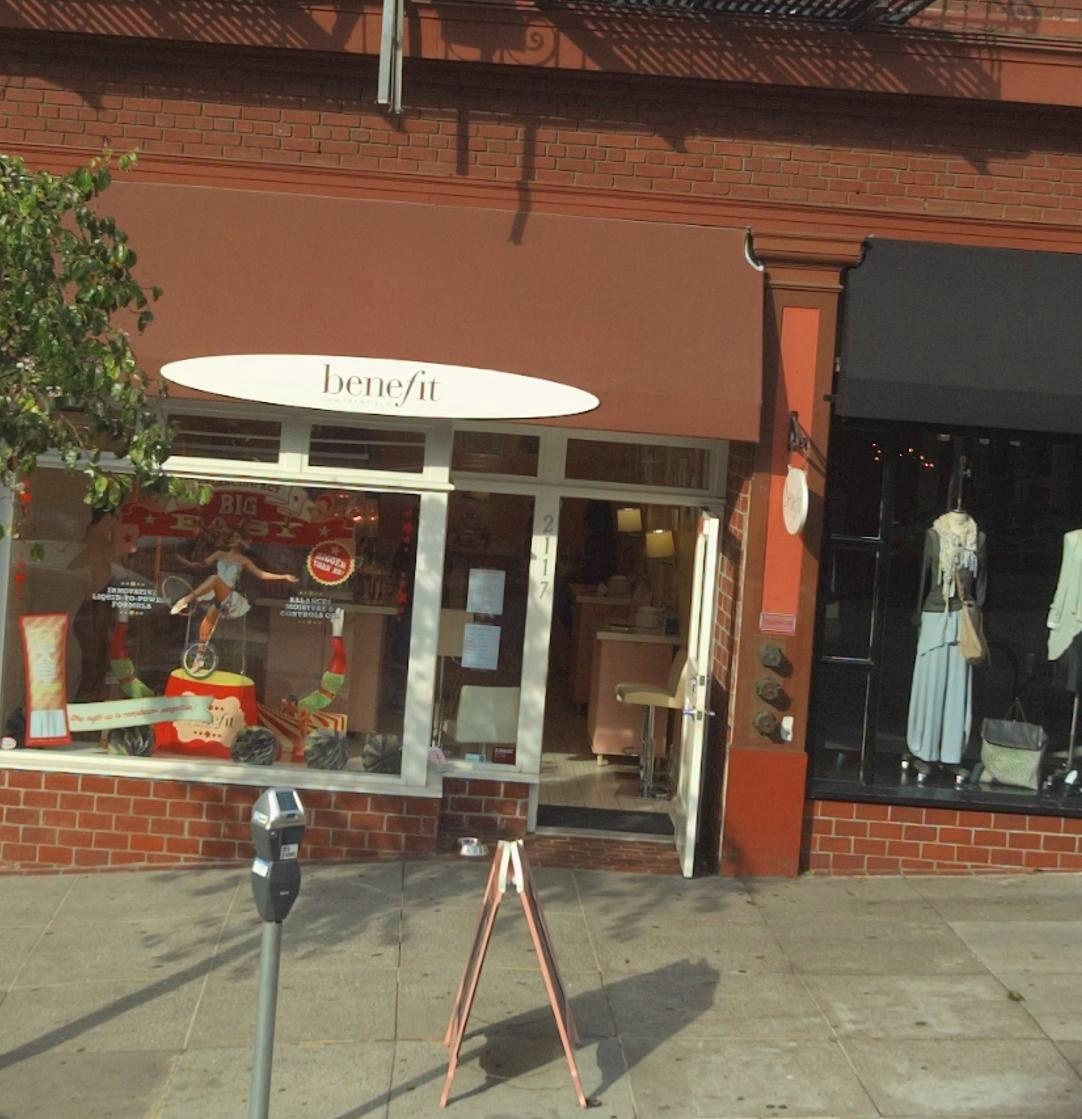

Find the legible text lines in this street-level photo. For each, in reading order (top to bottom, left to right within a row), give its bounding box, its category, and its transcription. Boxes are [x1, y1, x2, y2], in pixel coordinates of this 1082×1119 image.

[318, 358, 444, 411] BusinessName: benefit
[167, 509, 307, 541] None: EASY
[216, 490, 260, 519] None: BIG
[533, 512, 558, 603] StreetNumber: 2117